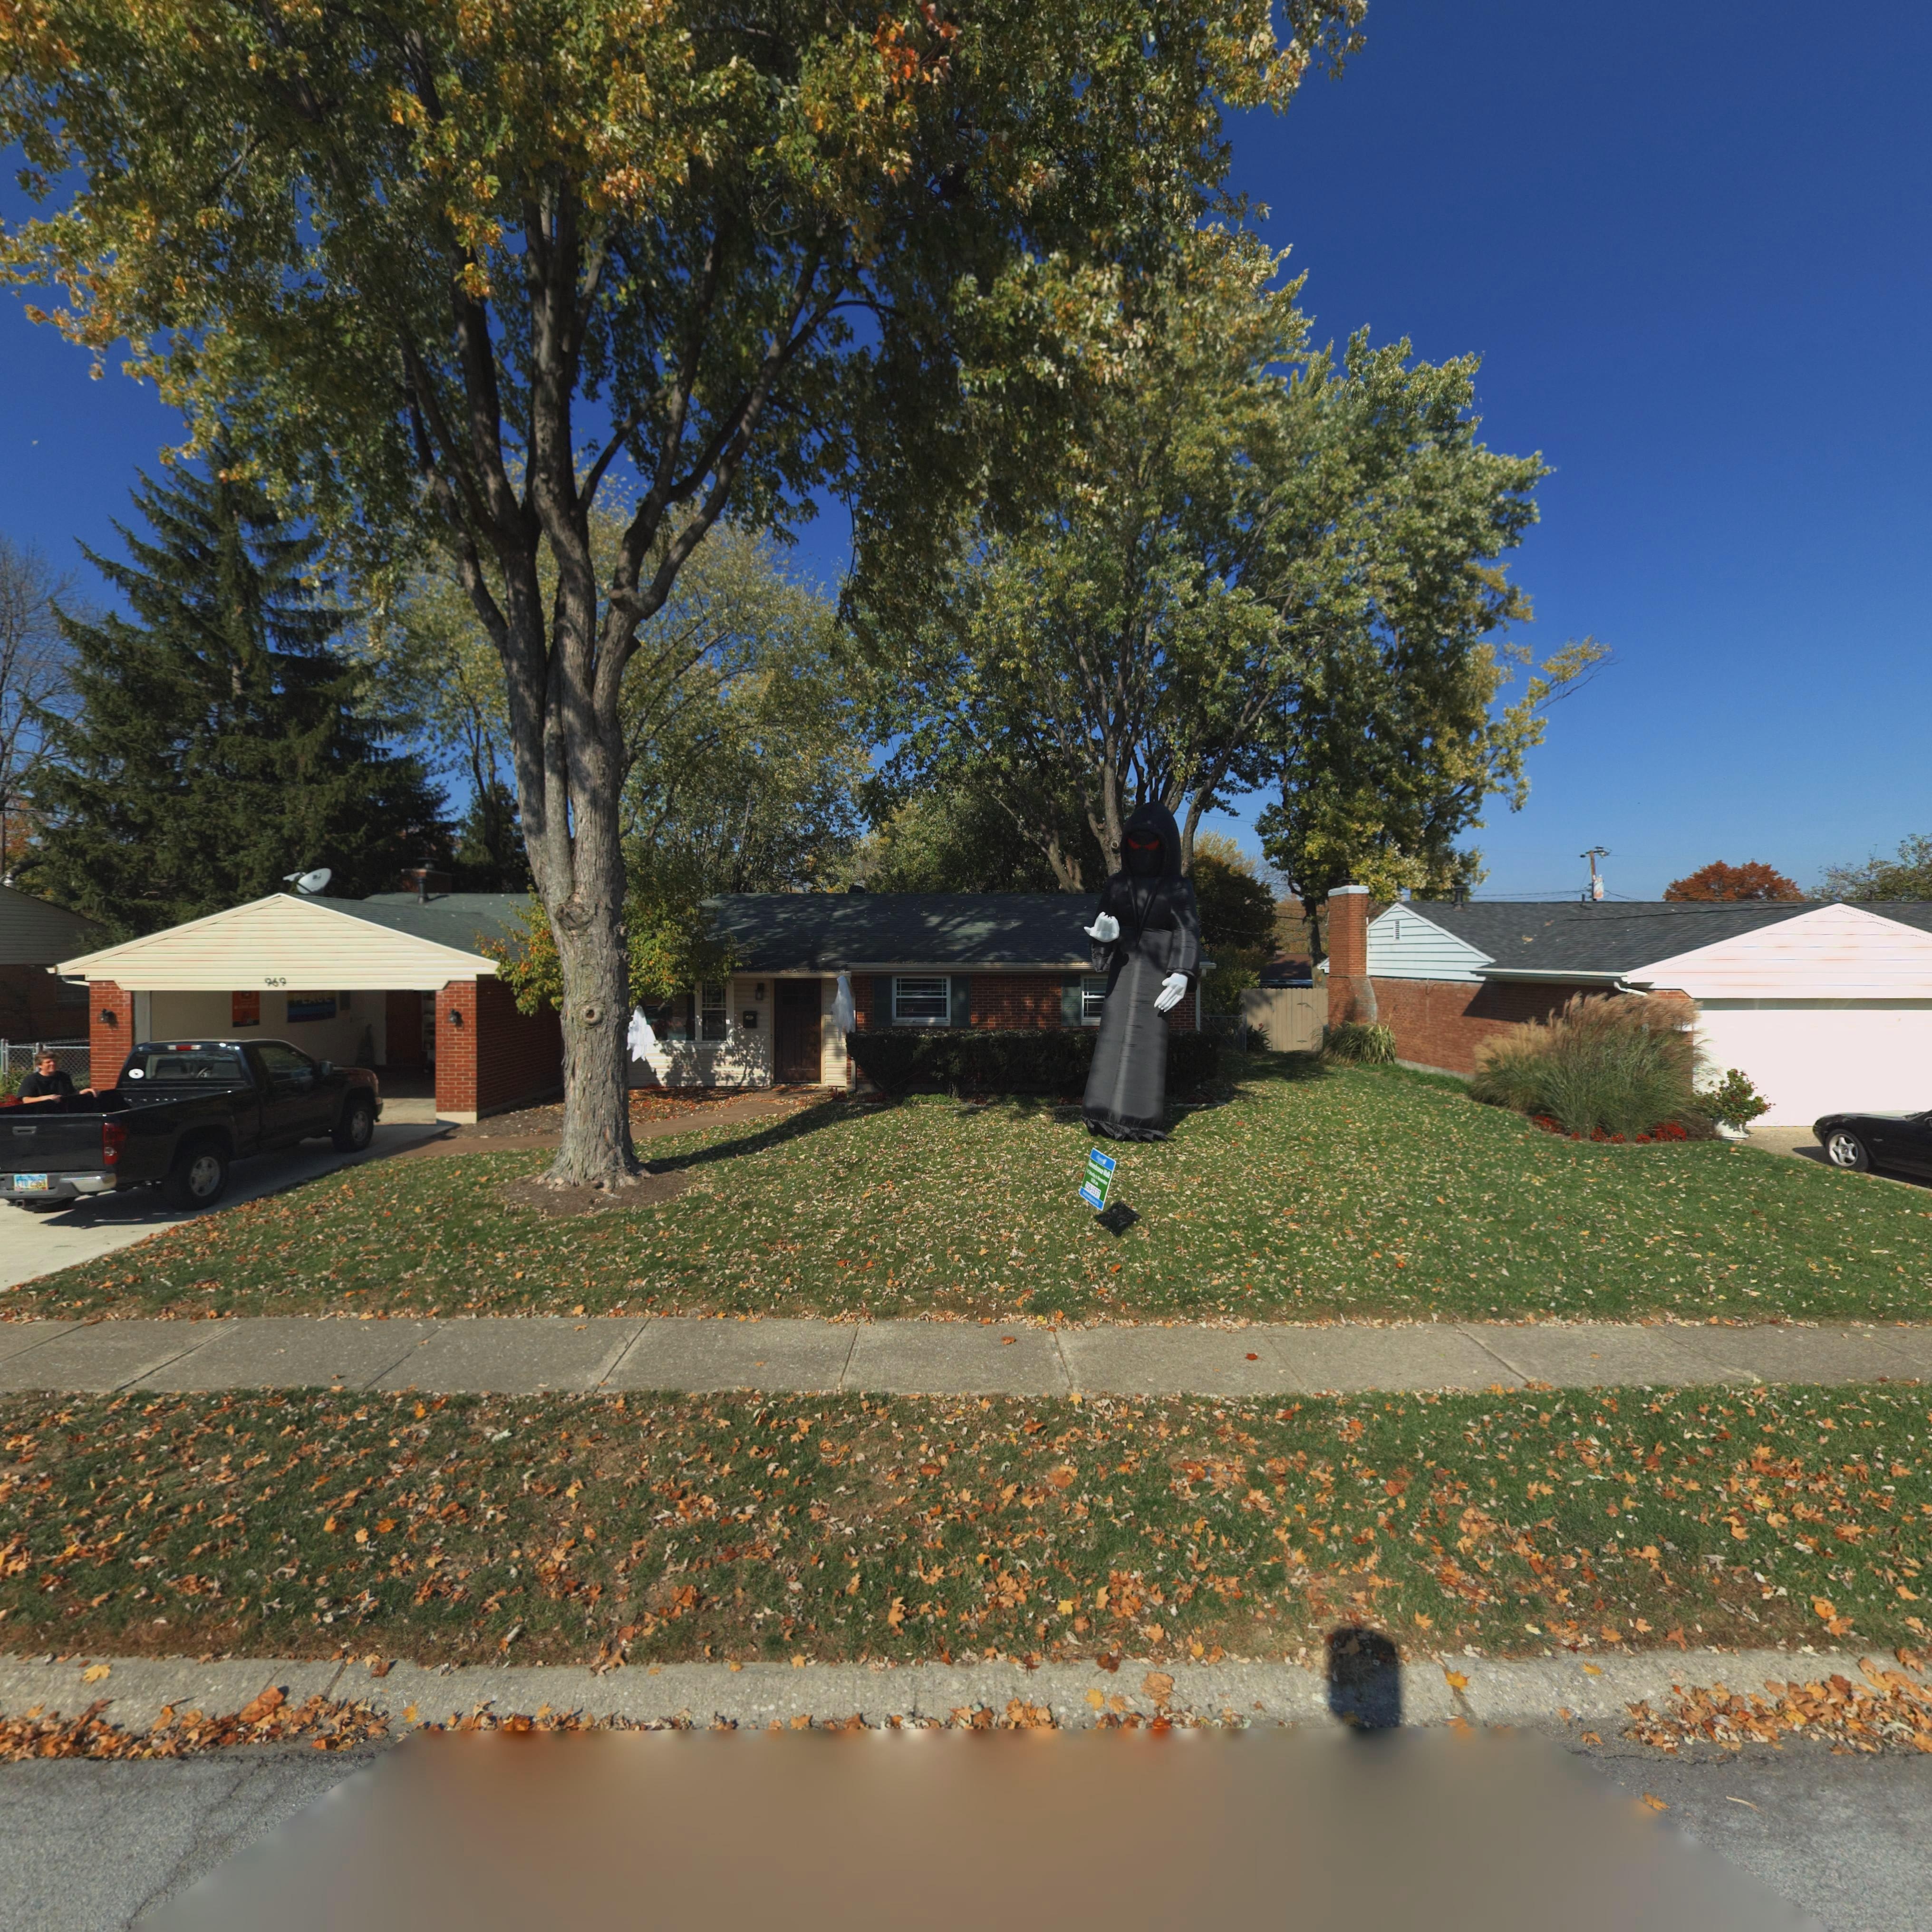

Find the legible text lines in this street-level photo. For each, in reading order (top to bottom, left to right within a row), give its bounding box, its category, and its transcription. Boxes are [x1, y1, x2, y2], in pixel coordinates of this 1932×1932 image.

[263, 976, 288, 988] StreetNumber: 969
[292, 990, 333, 1007] None: PEACE